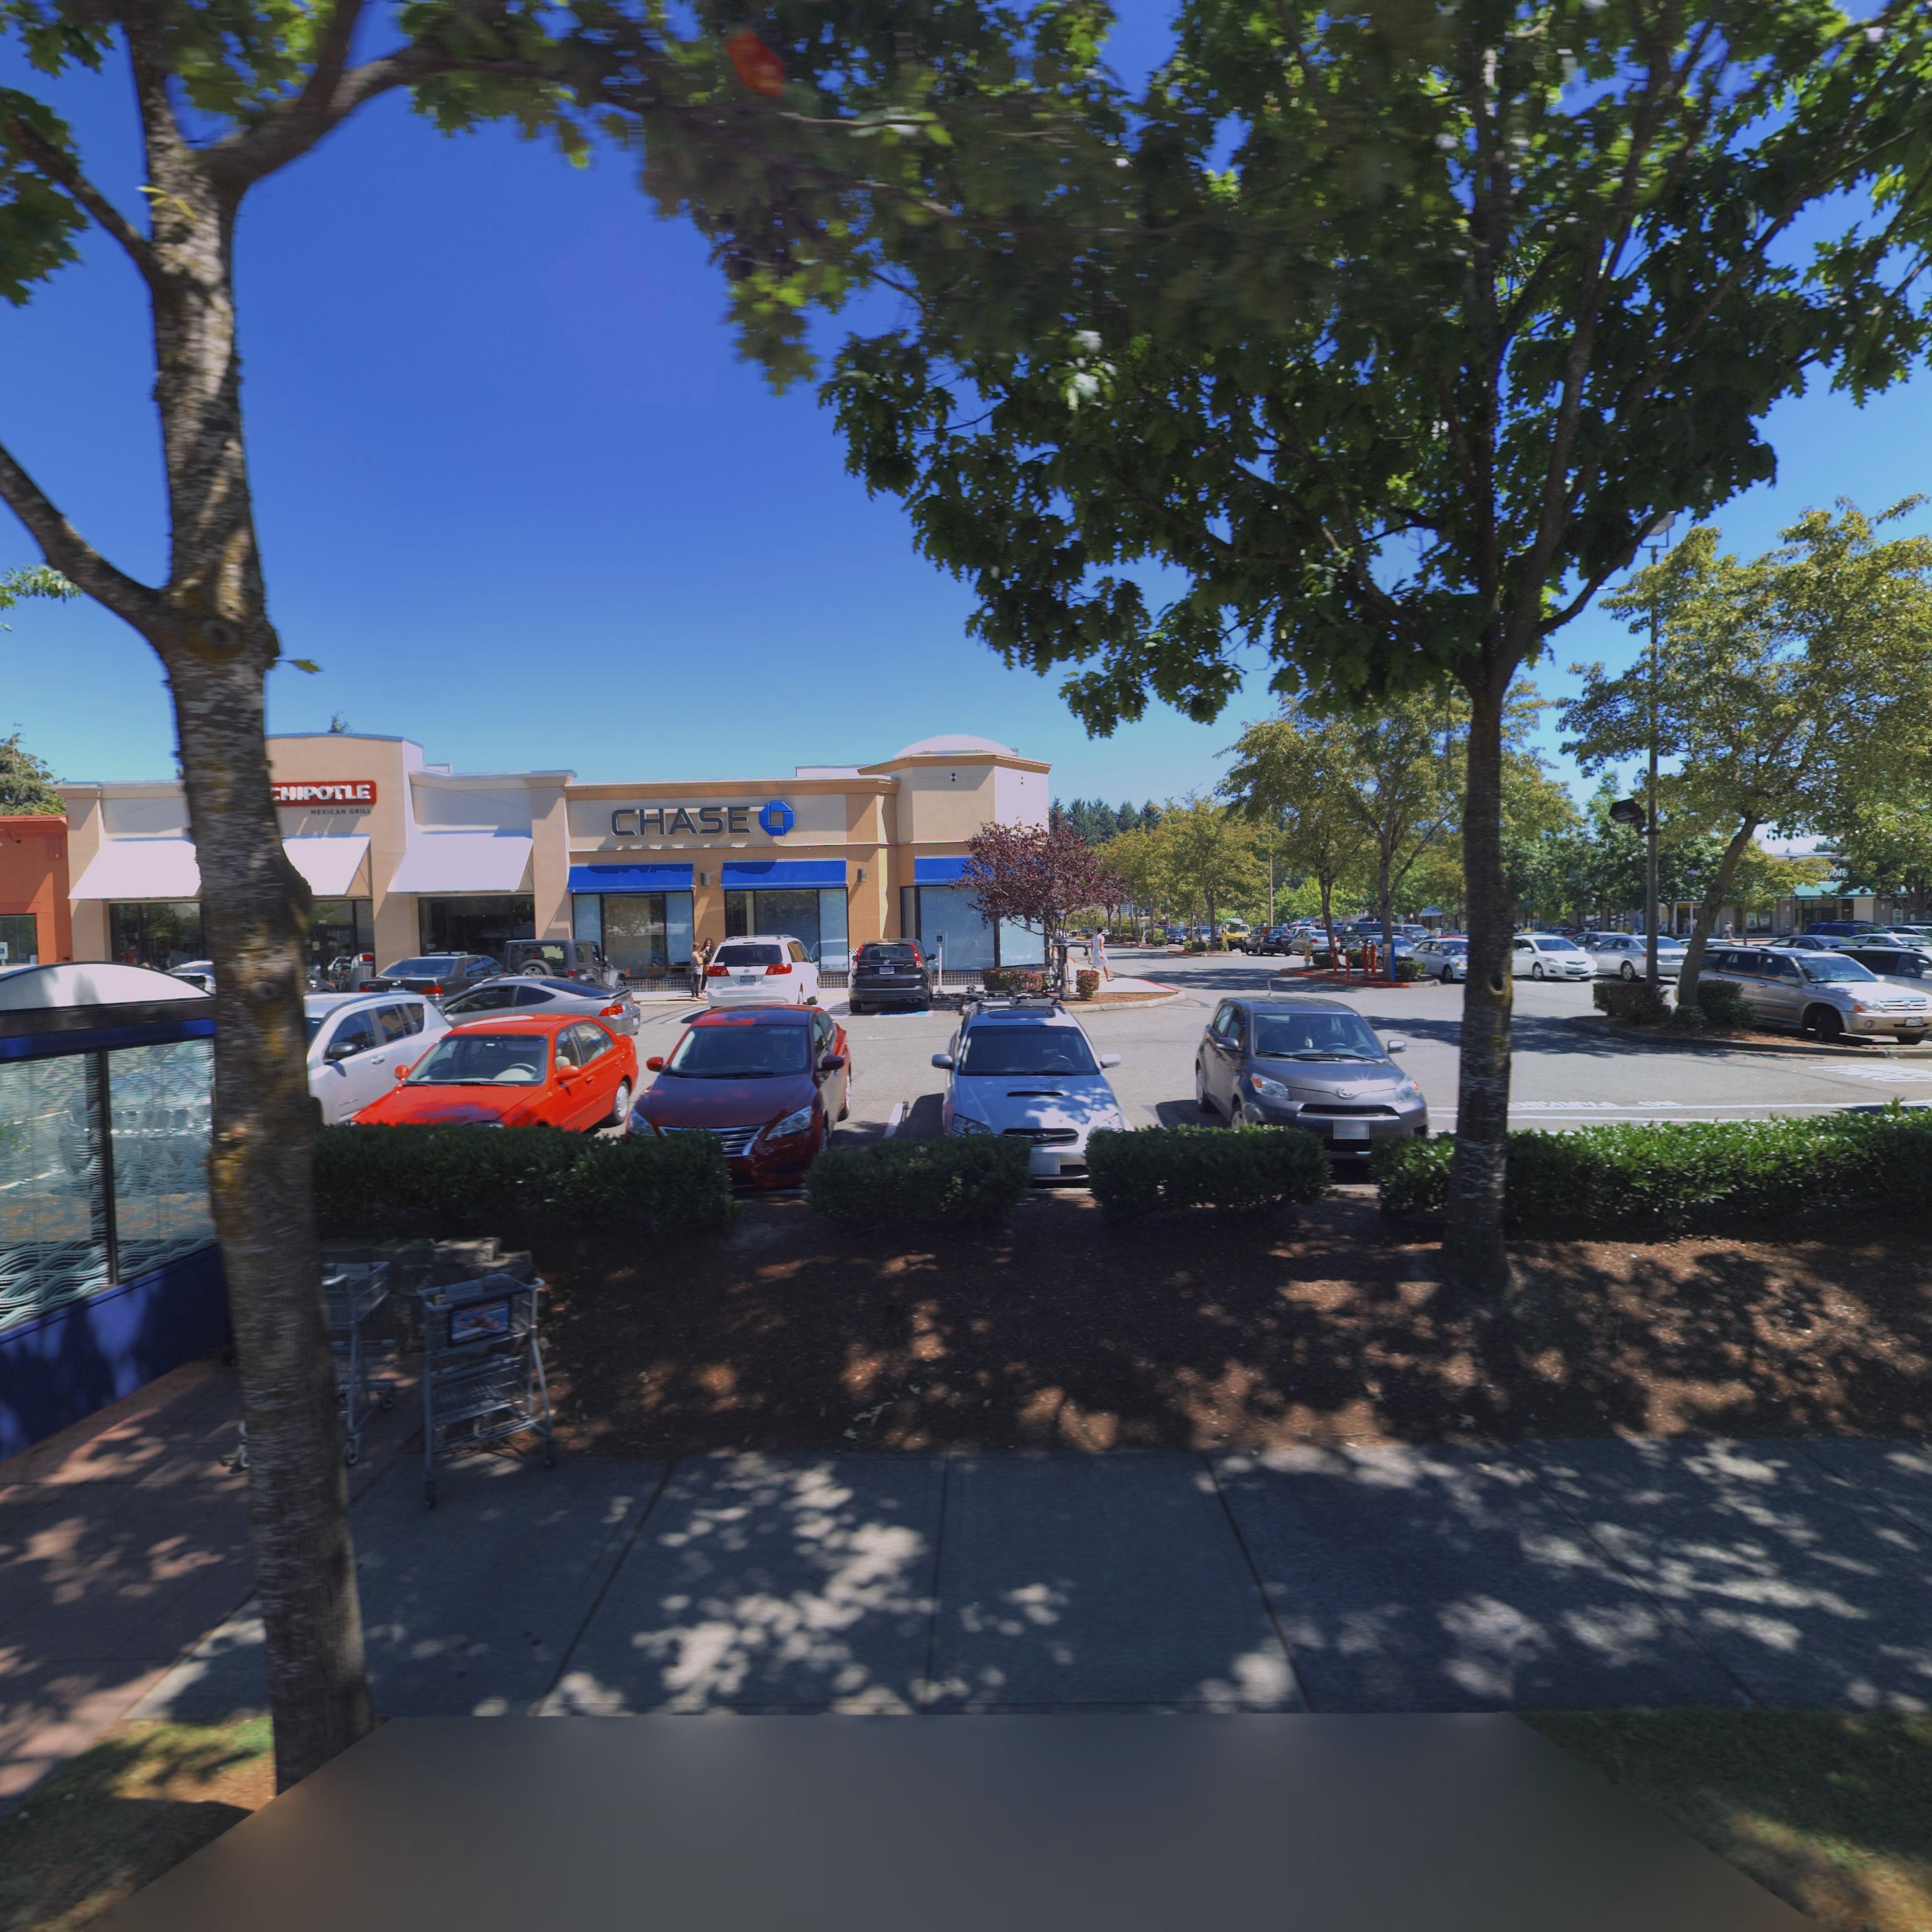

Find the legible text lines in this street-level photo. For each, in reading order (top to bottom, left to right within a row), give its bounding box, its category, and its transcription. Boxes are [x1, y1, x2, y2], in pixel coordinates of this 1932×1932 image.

[279, 784, 376, 801] BusinessName: HIPOTLE
[310, 808, 372, 815] BusinessName: MEXICAN GRILL
[611, 805, 751, 837] BusinessName: CHASE